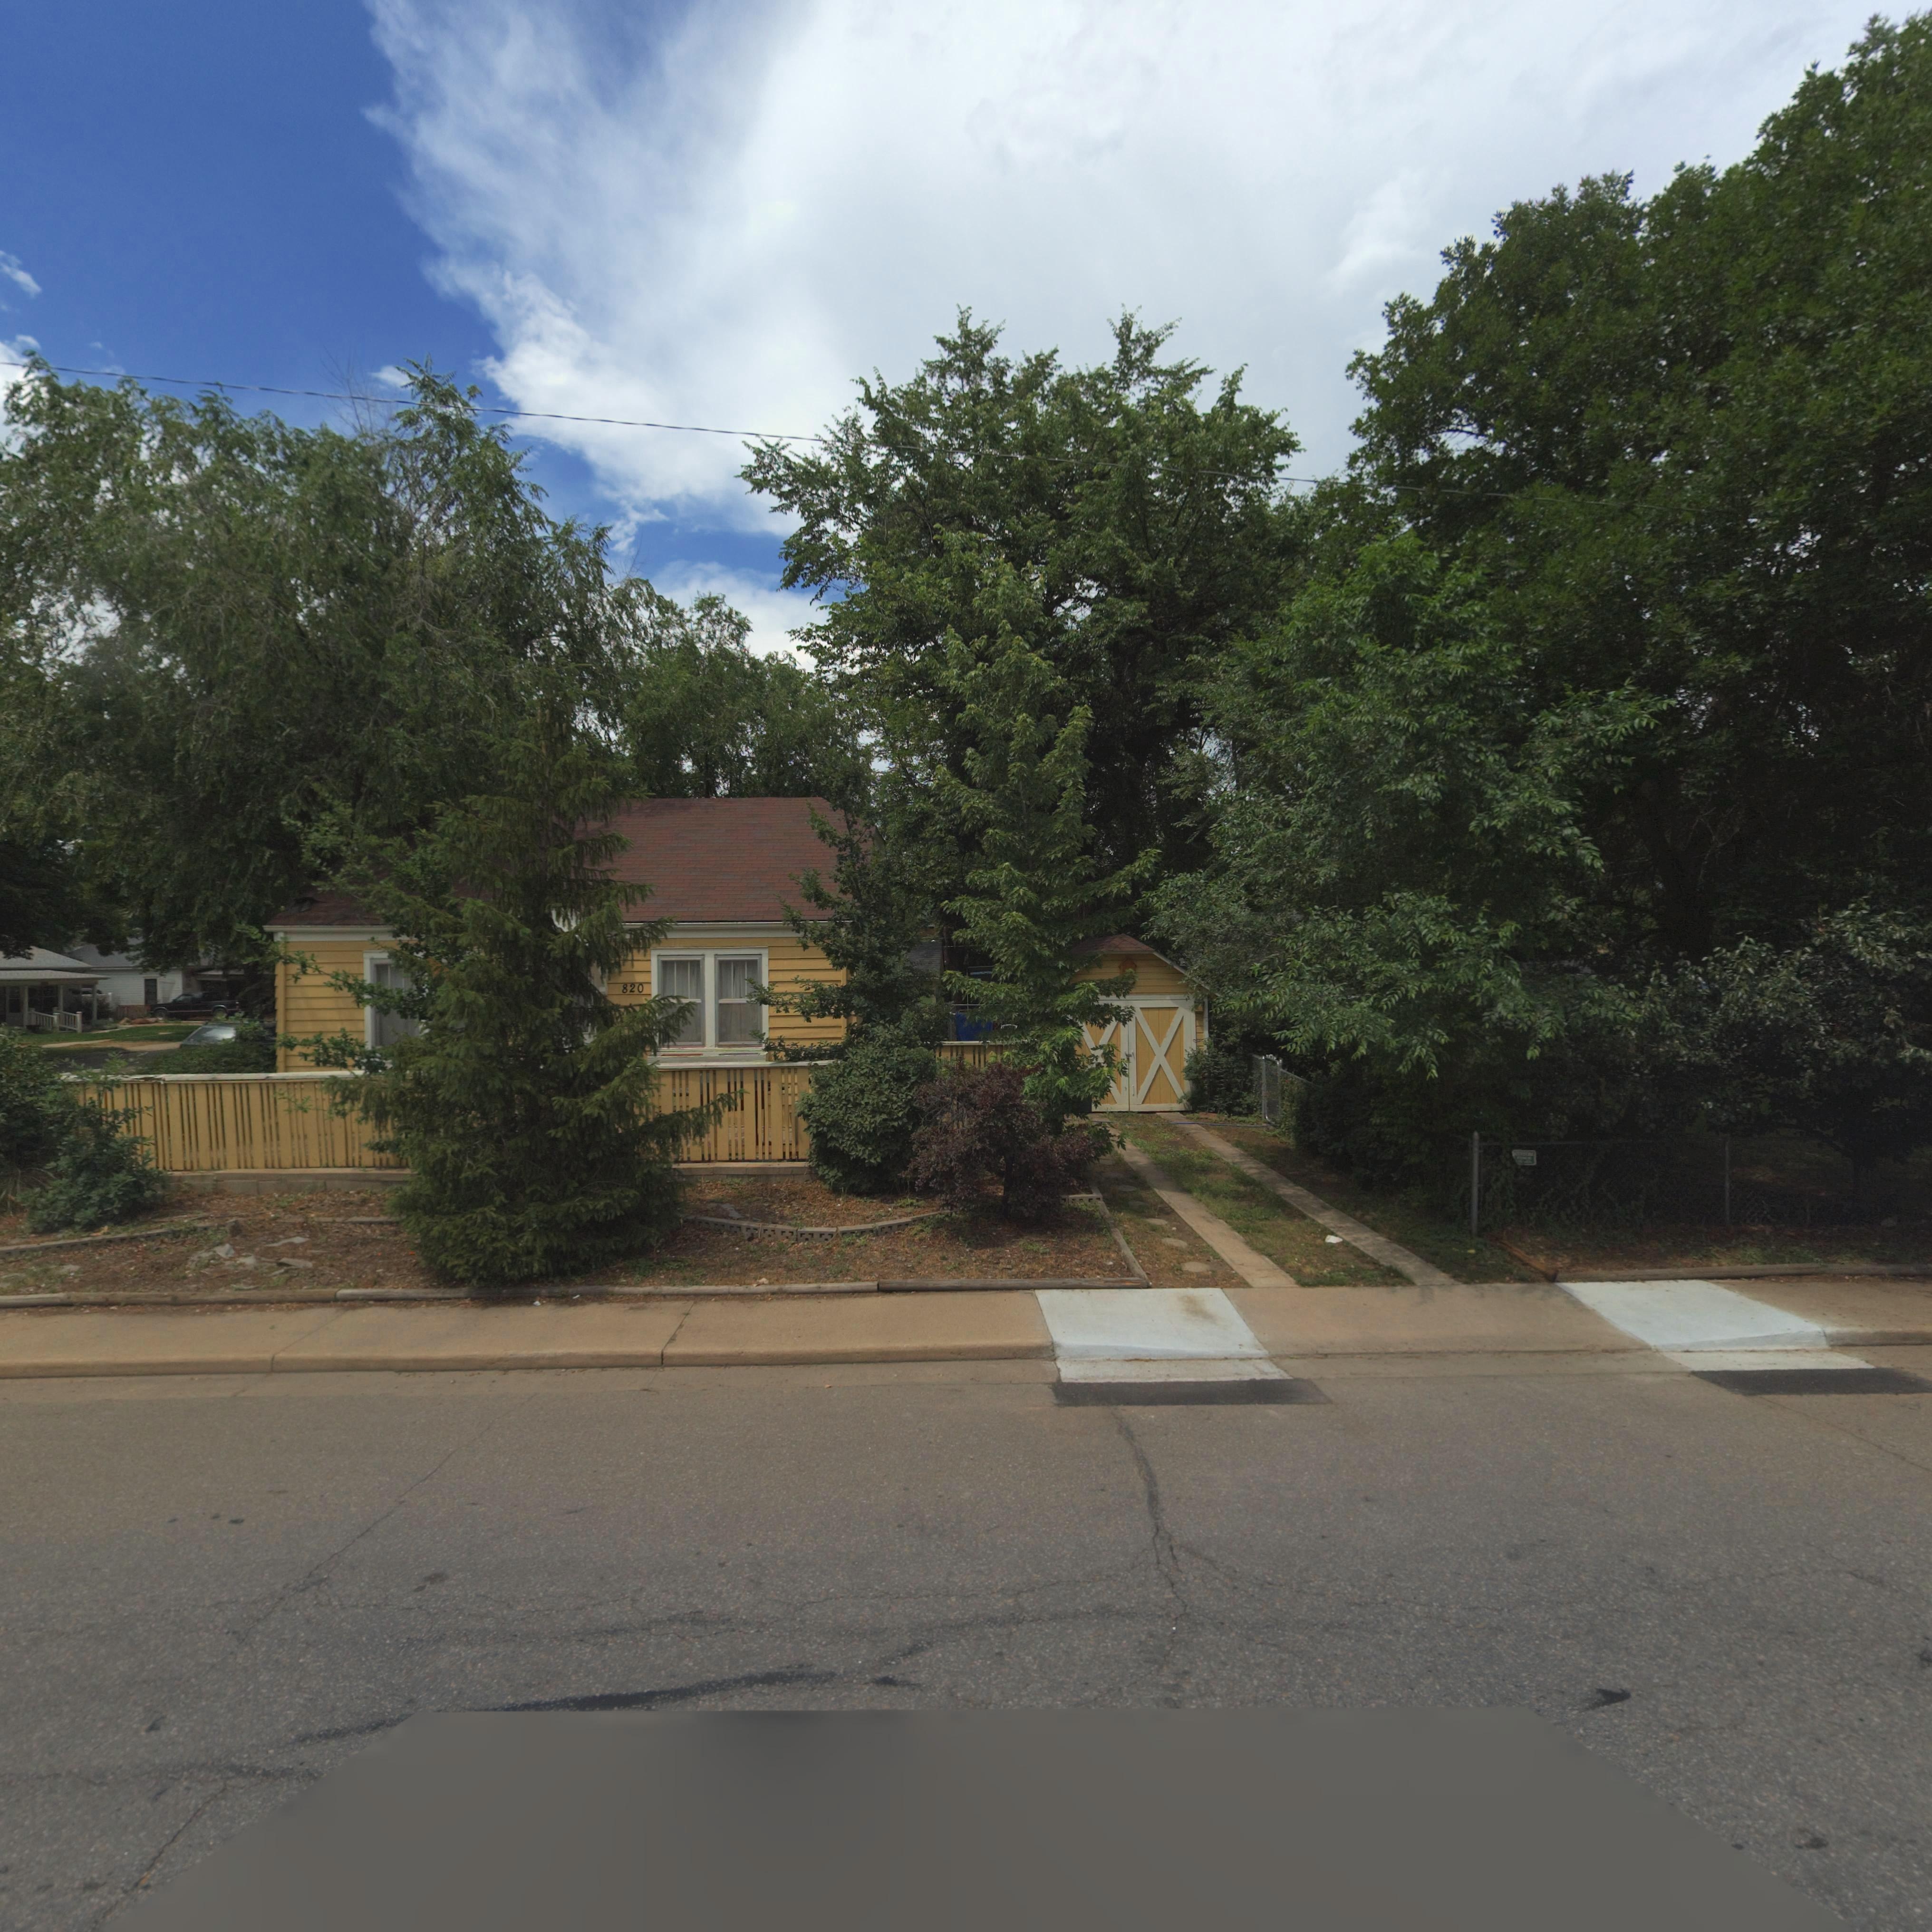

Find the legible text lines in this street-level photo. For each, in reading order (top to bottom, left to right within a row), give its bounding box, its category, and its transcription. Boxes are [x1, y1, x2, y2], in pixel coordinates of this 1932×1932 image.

[622, 984, 643, 993] StreetNumber: 820